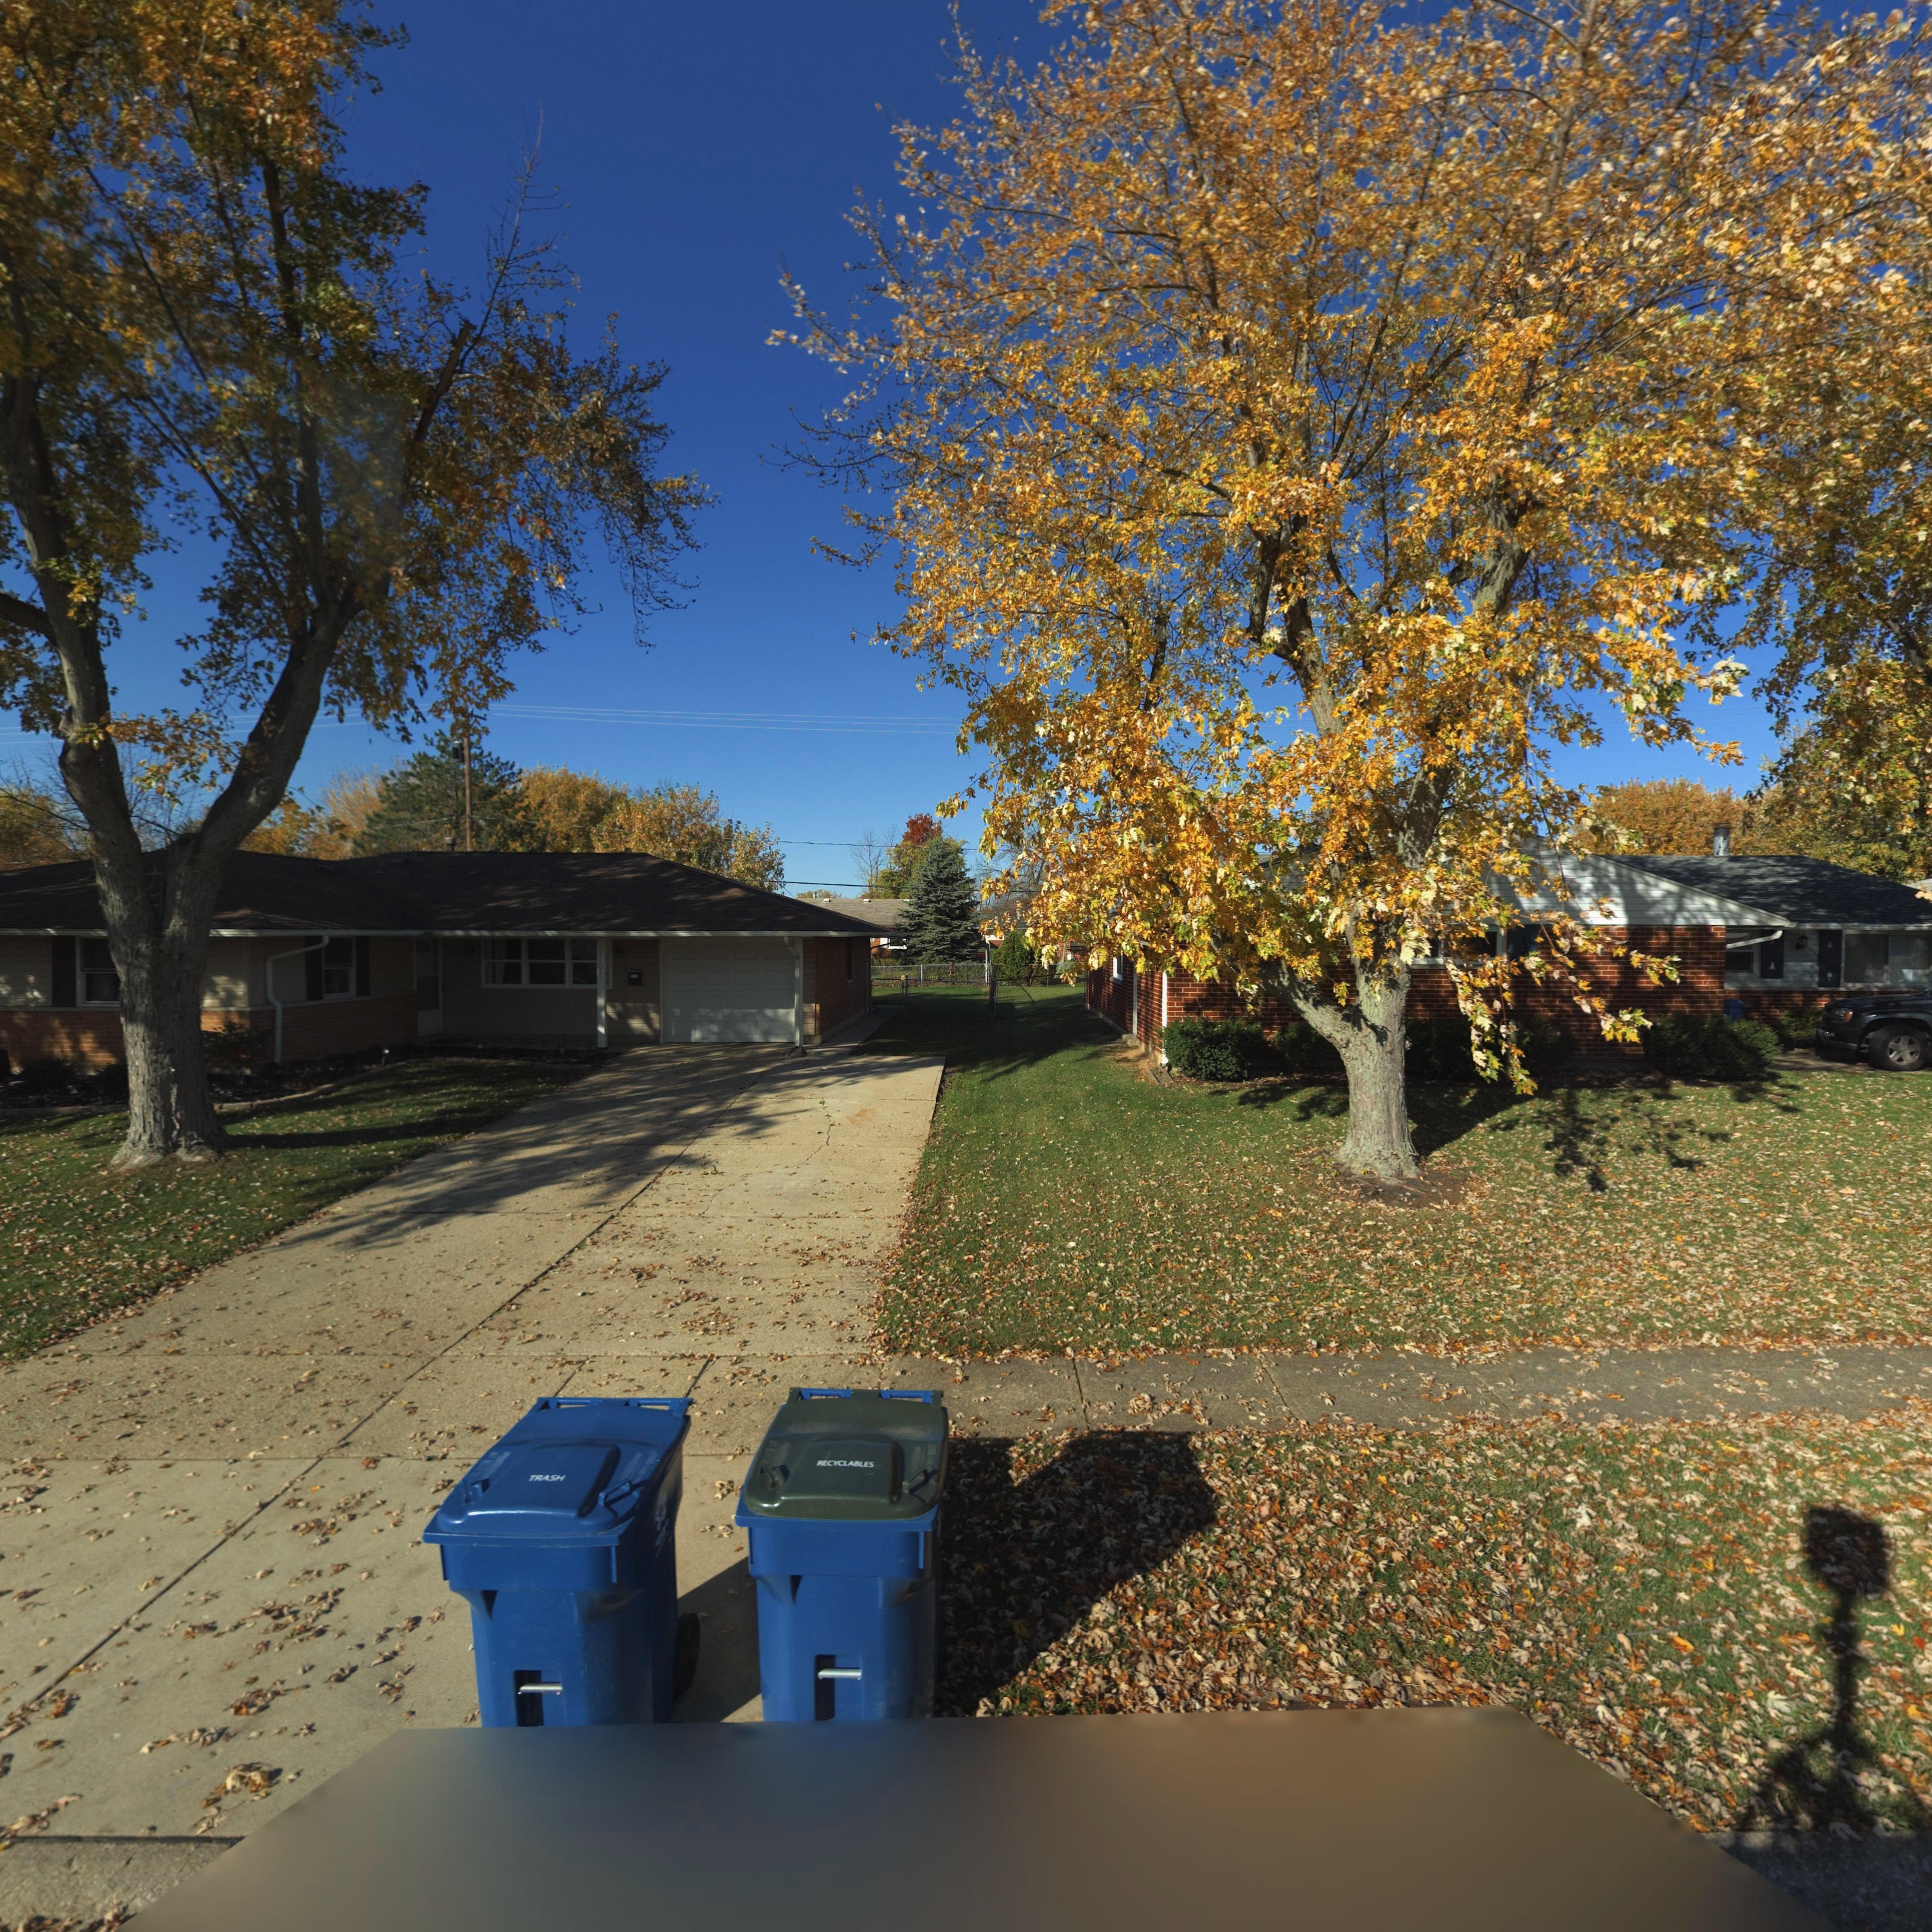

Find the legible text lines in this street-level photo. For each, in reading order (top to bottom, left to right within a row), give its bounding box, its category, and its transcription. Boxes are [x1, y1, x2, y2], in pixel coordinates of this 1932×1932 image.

[597, 945, 604, 979] StreetNumber: 7701